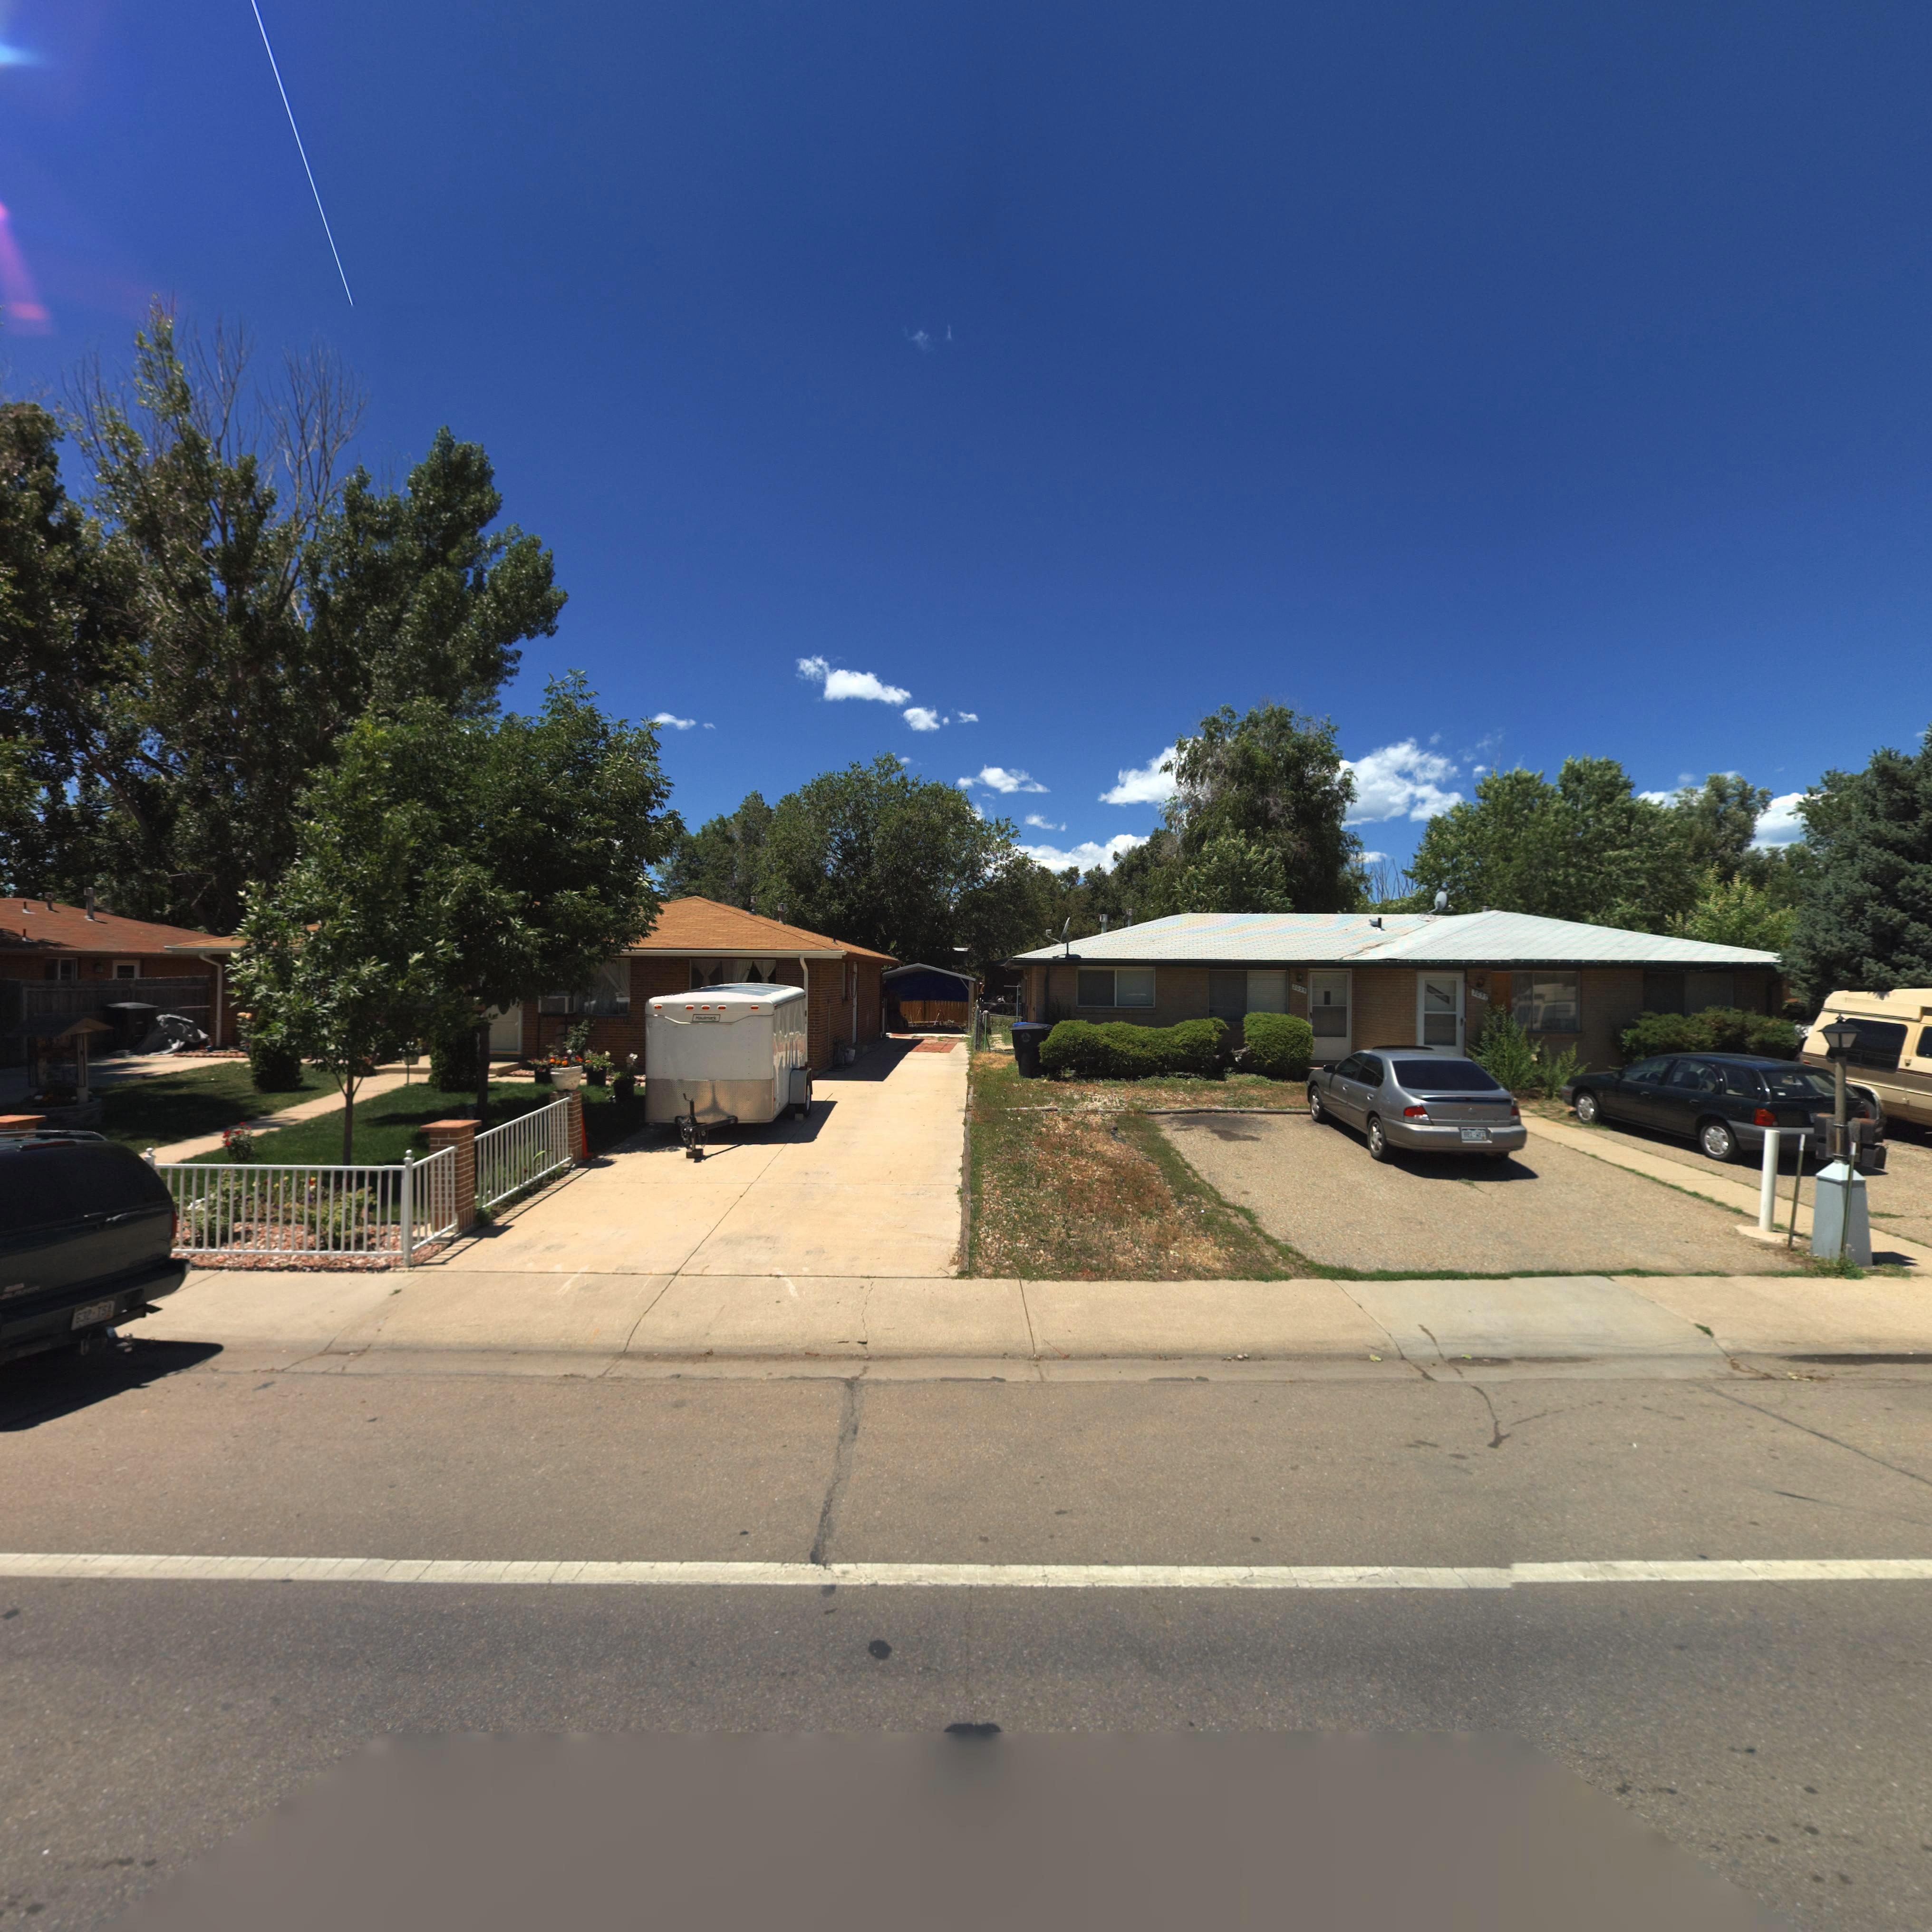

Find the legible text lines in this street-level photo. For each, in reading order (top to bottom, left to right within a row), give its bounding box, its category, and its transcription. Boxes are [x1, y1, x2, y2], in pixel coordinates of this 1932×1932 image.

[1292, 983, 1306, 993] StreetNumber: 2055
[1472, 988, 1488, 1000] StreetNumber: 2***